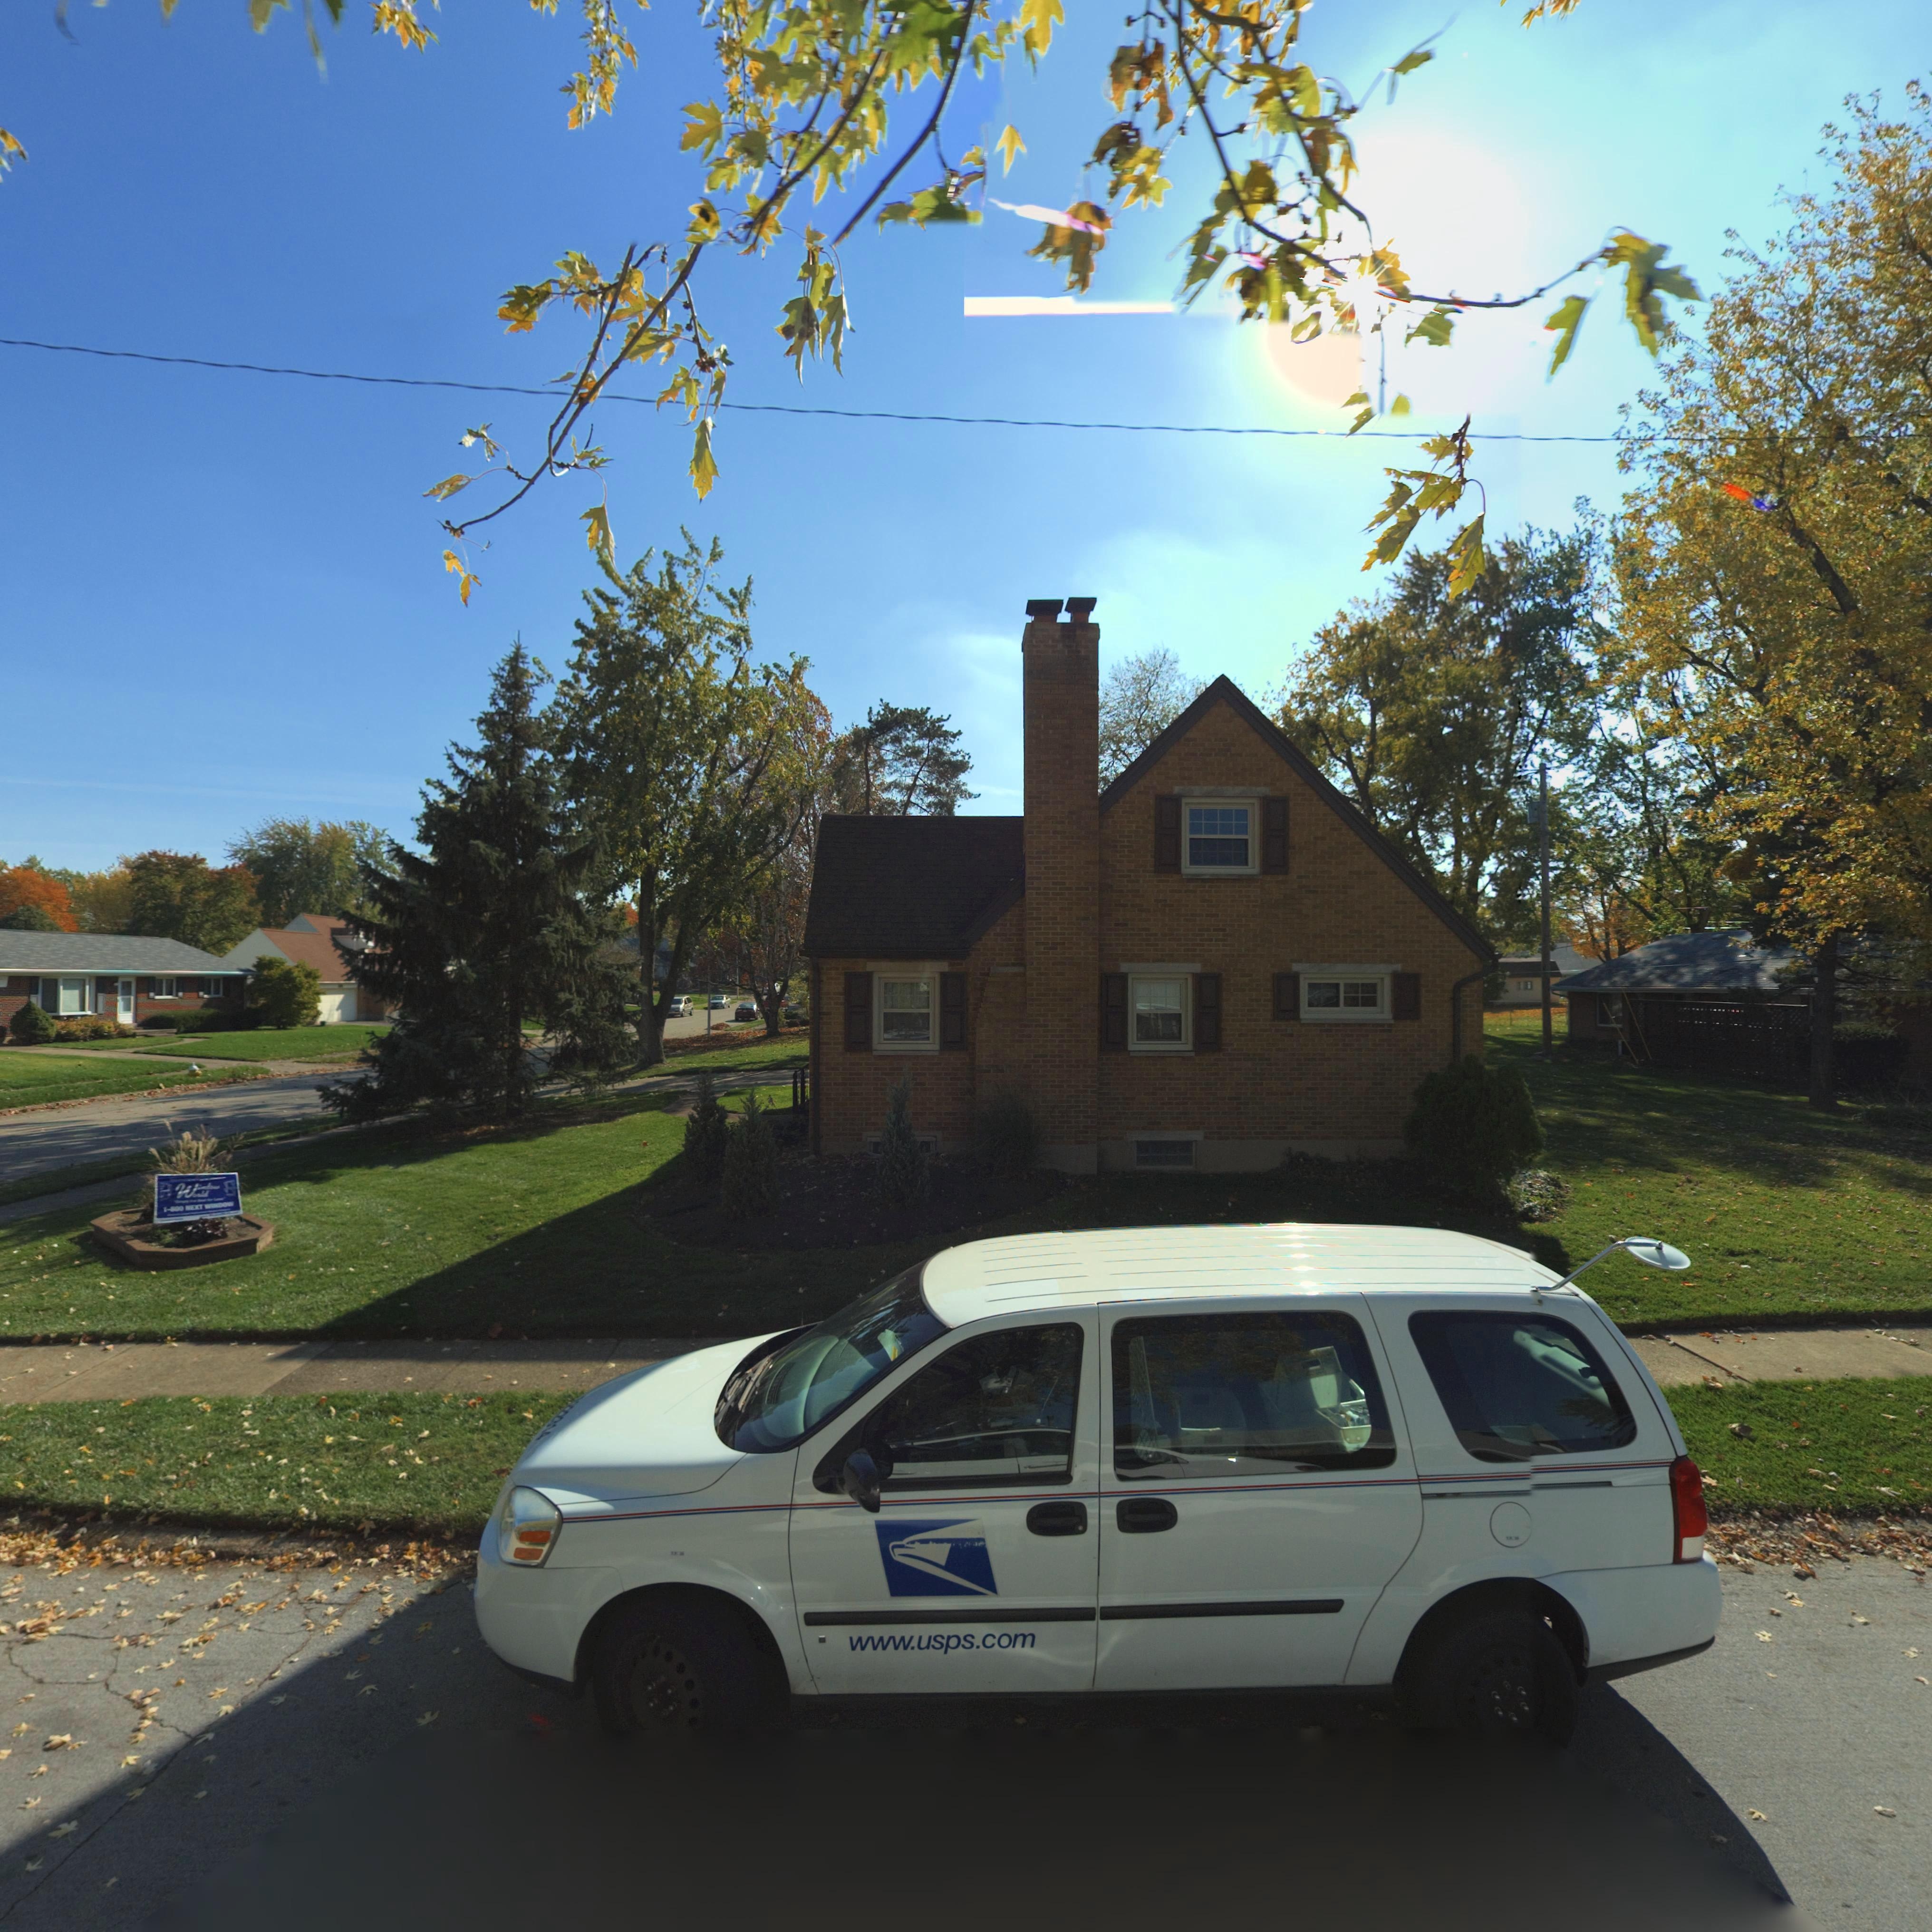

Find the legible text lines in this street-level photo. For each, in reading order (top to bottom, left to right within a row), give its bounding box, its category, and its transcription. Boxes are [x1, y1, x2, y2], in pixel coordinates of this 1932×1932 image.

[174, 1182, 200, 1199] None: W
[191, 1190, 210, 1198] None: orld
[163, 1201, 234, 1213] None: 1-800 NEXT WINDOW
[848, 1633, 1036, 1655] None: www.usps.com